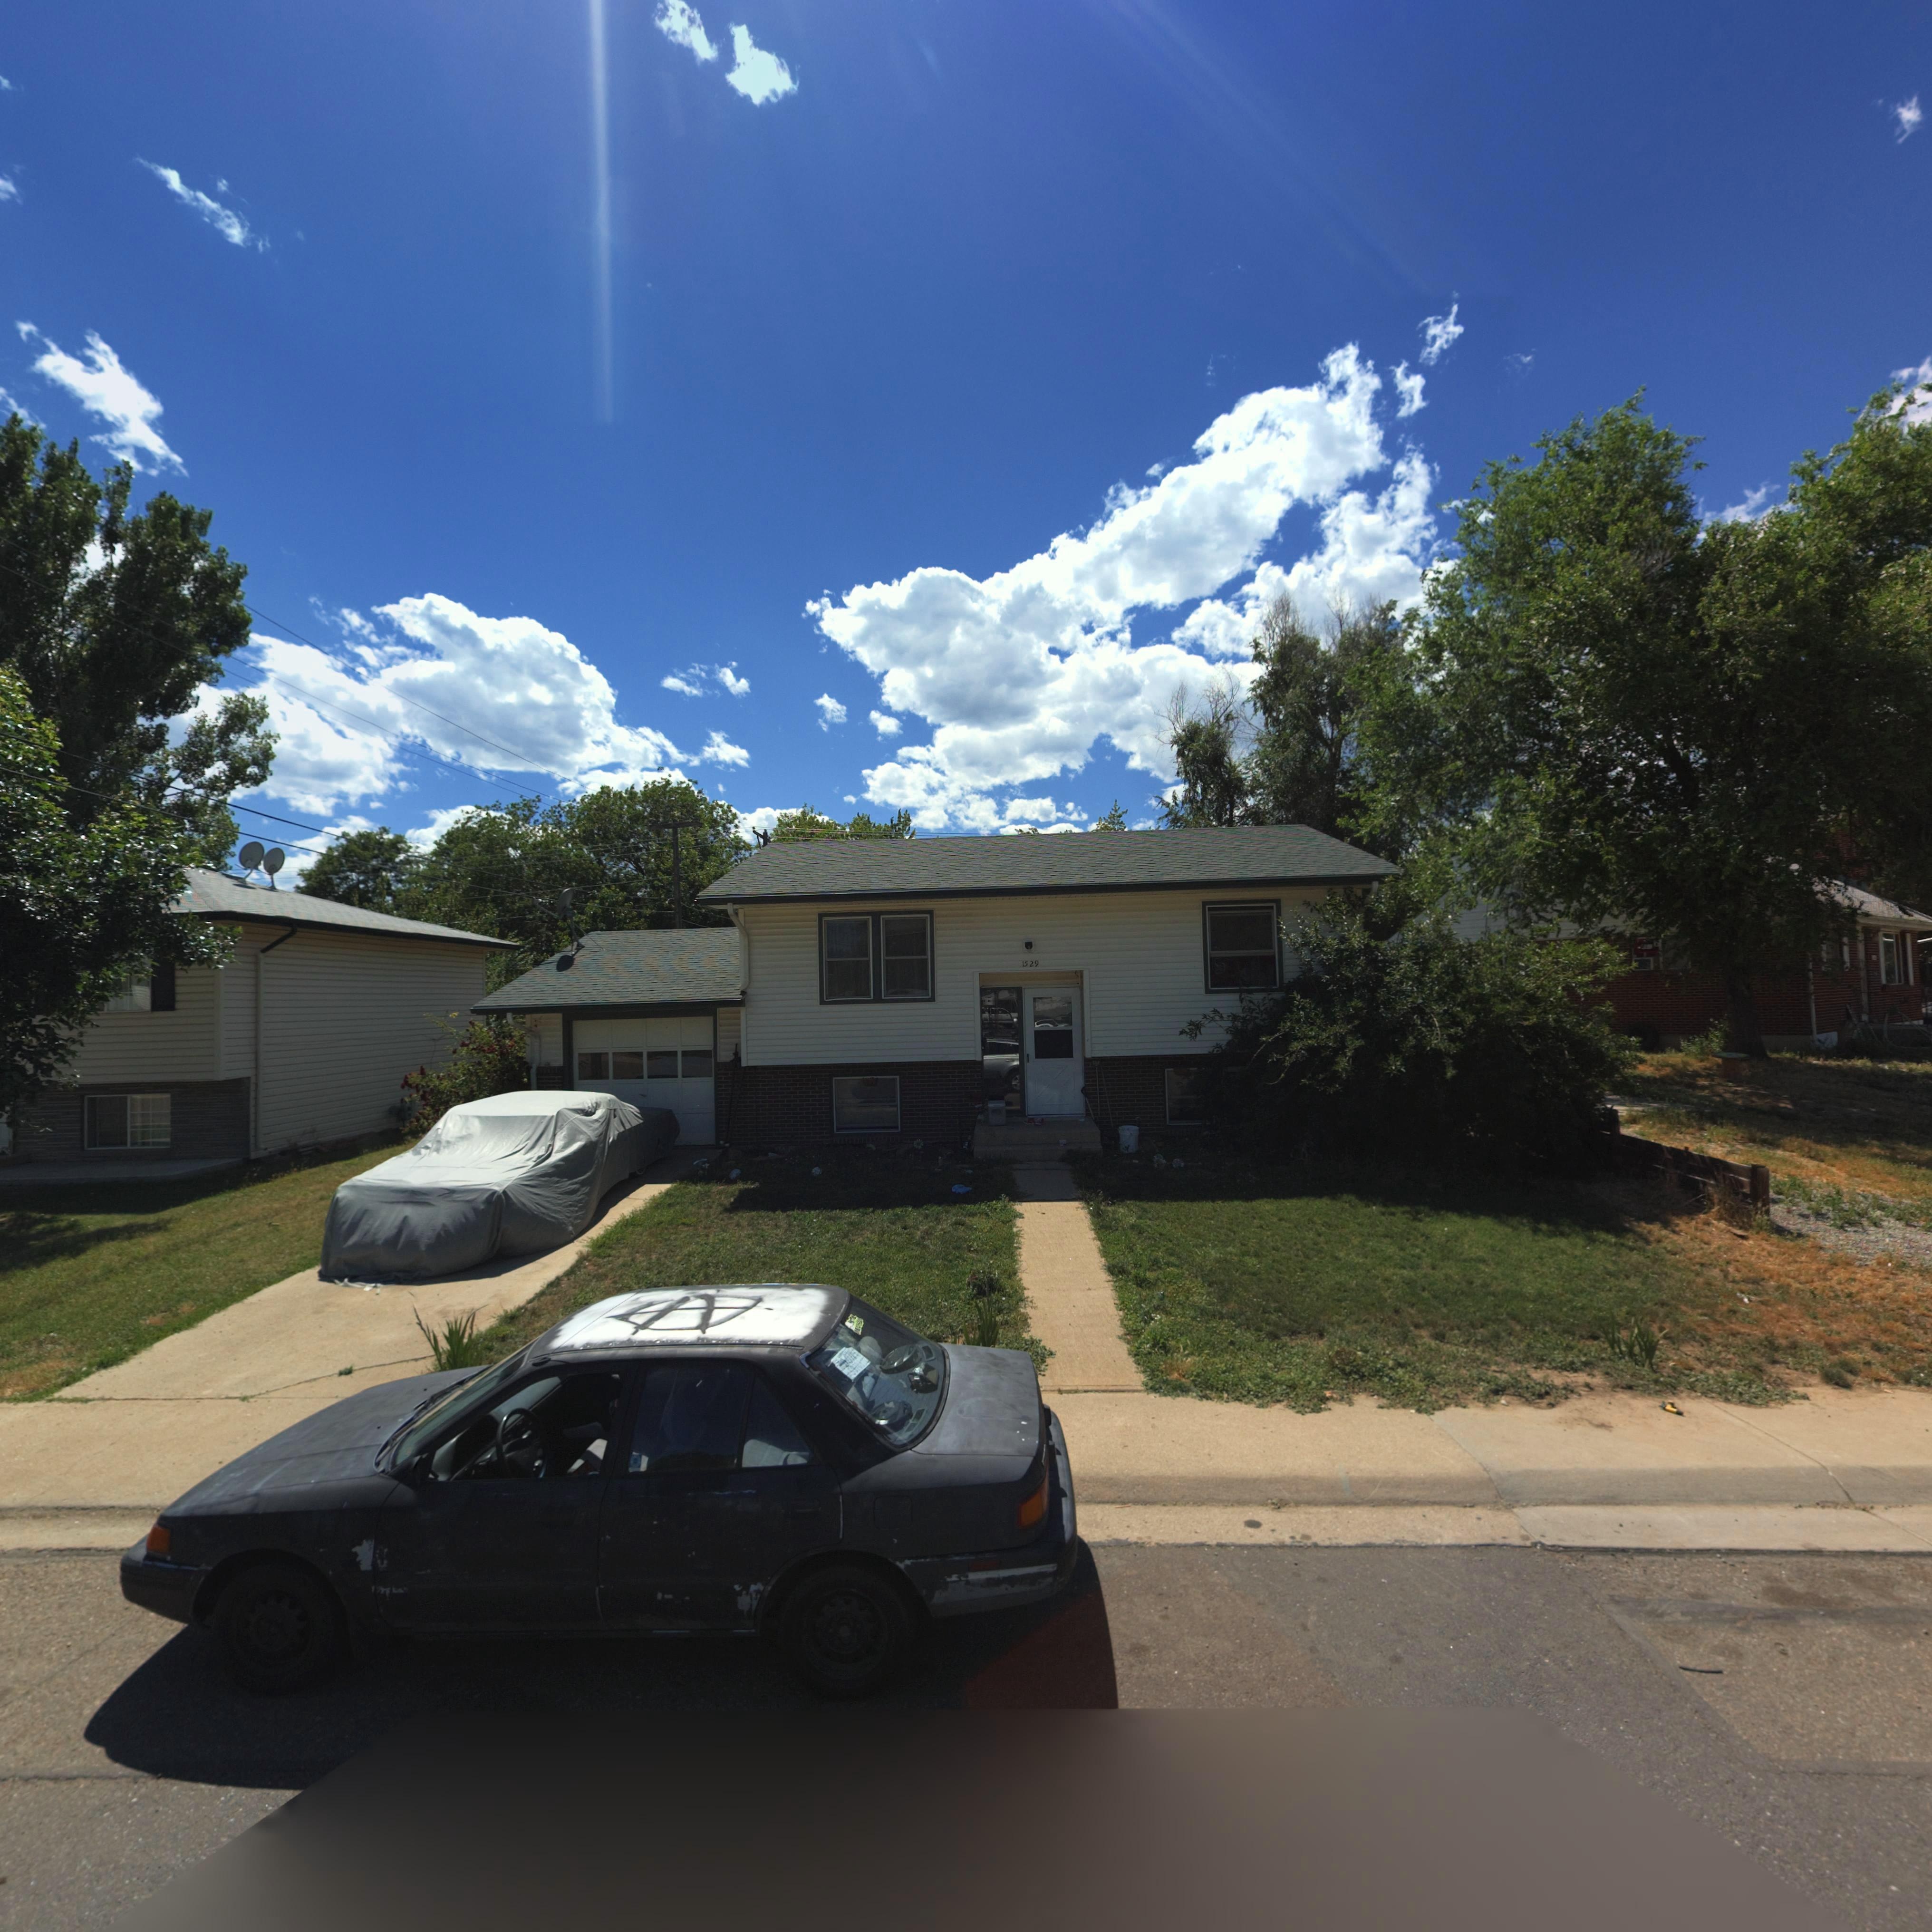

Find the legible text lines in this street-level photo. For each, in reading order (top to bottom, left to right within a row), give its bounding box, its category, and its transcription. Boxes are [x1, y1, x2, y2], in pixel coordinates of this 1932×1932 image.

[1022, 960, 1039, 967] StreetNumber: 1529